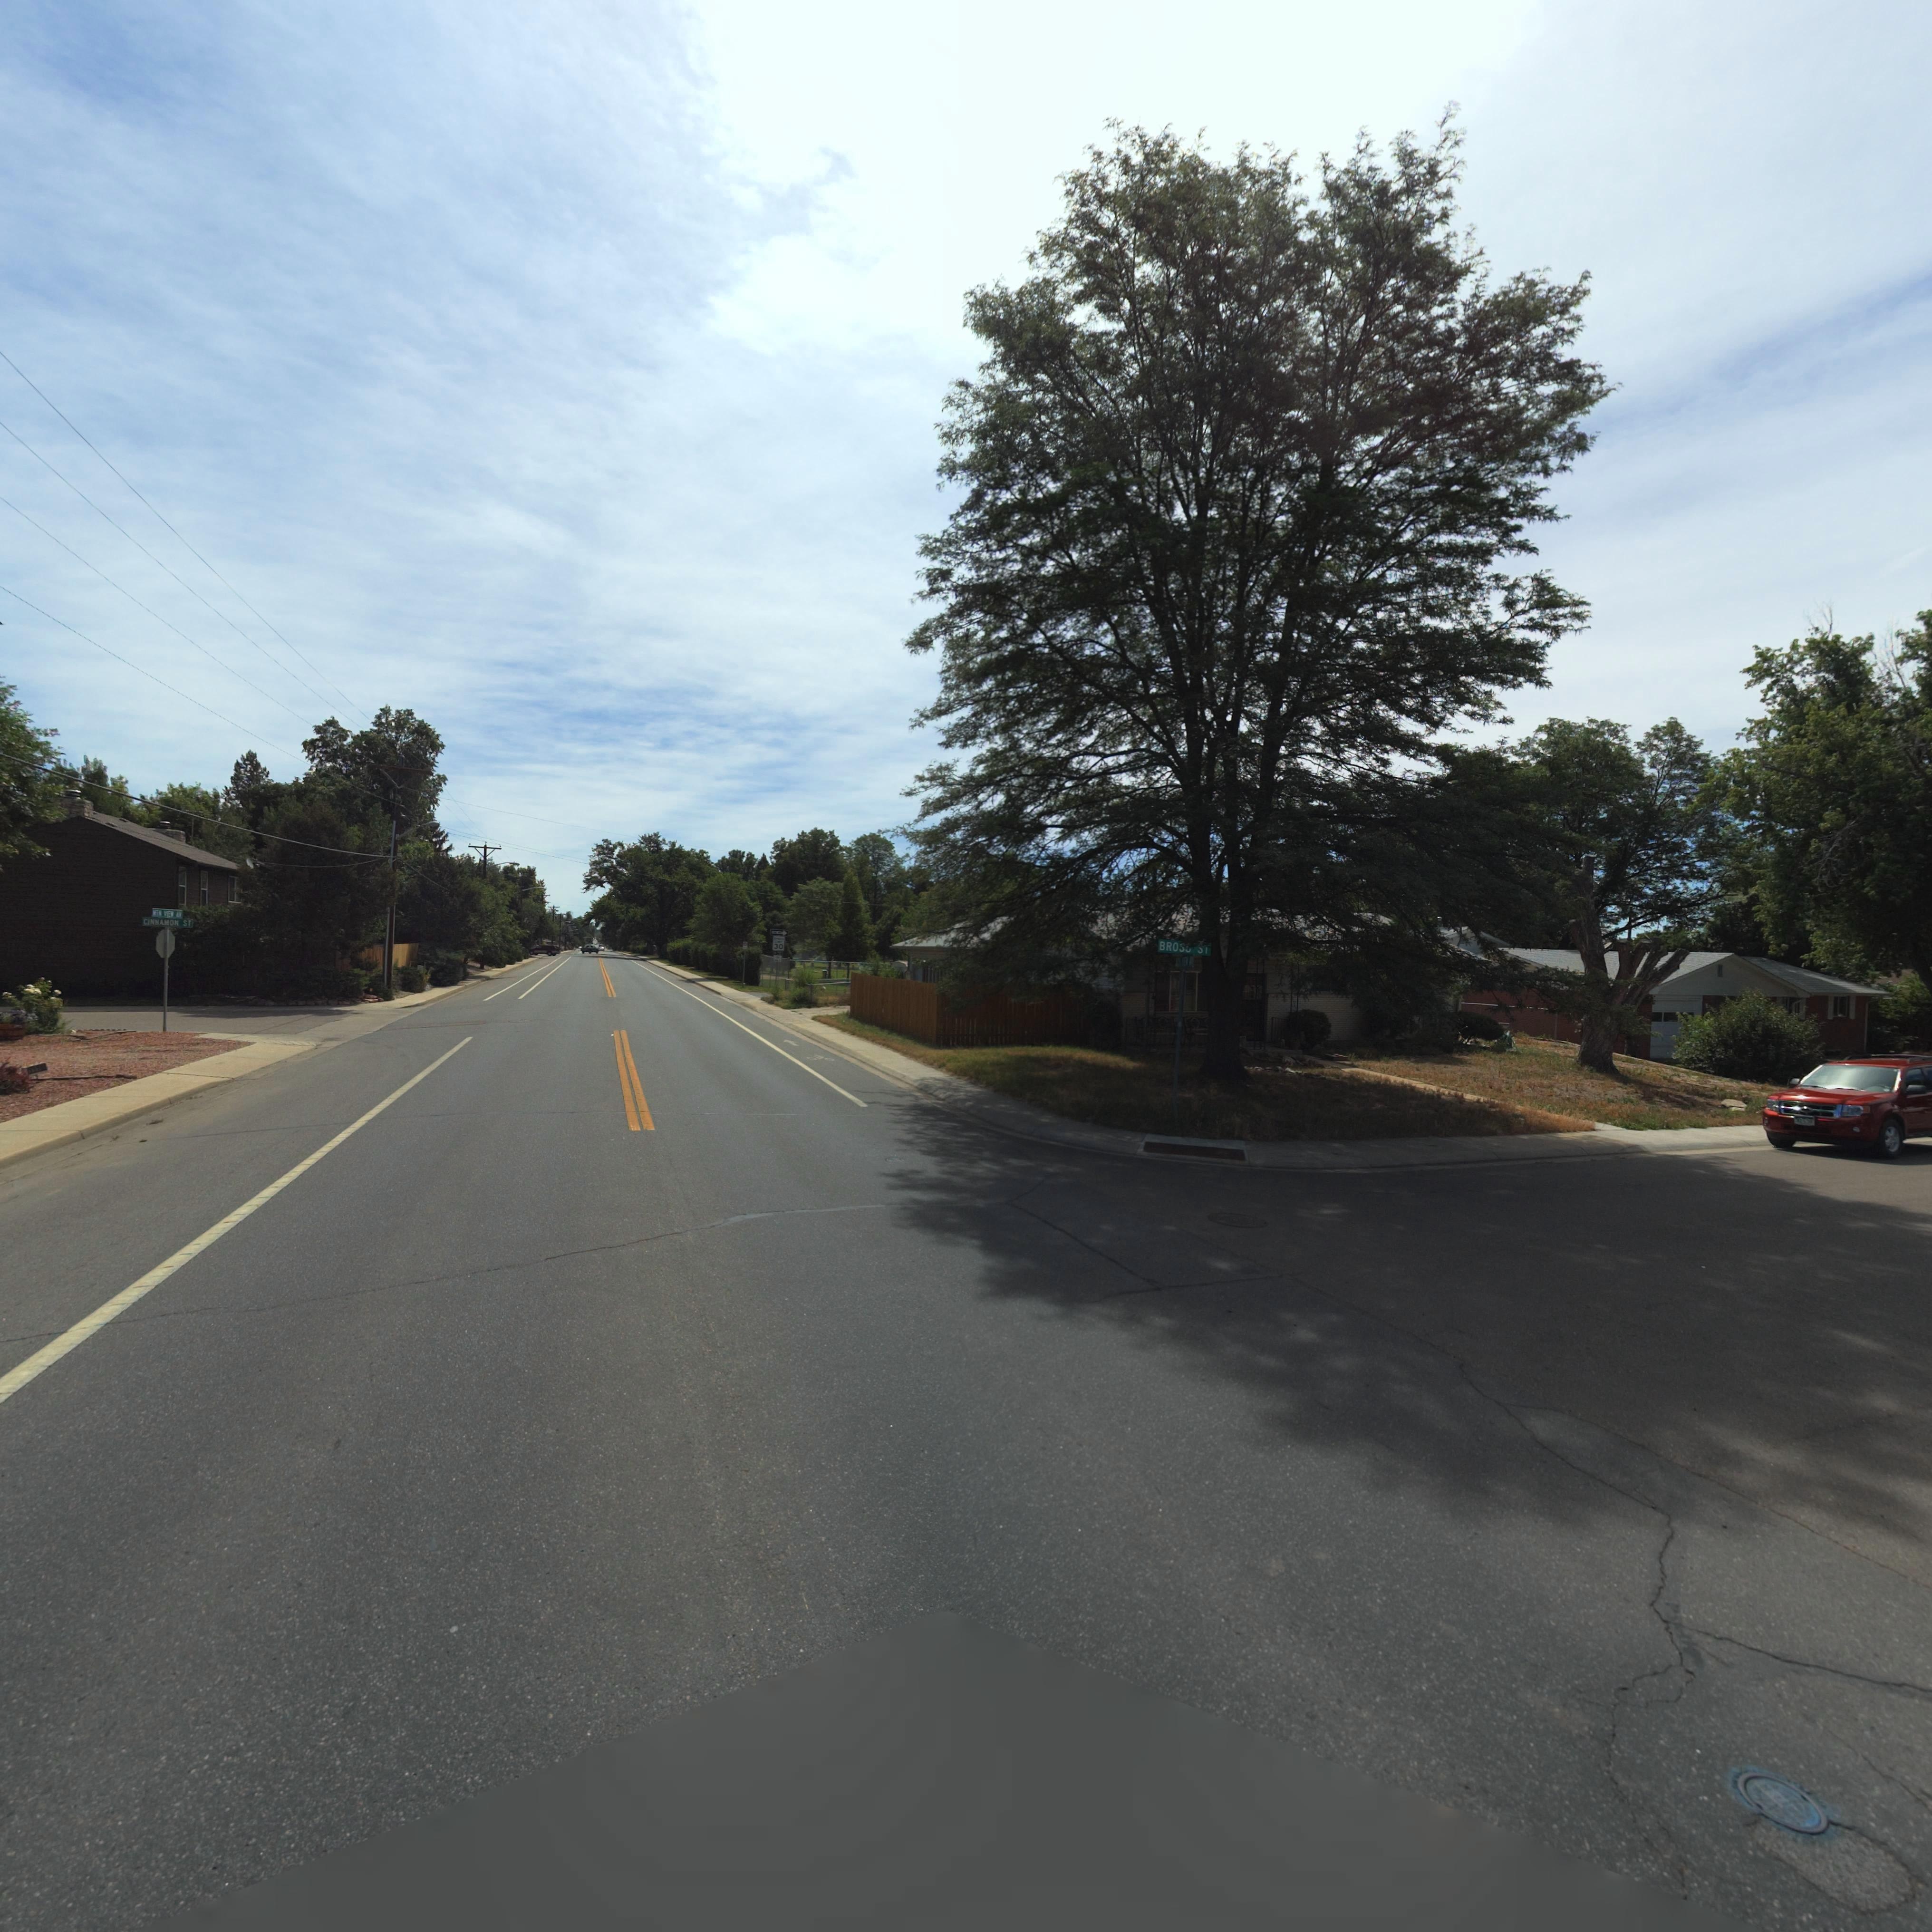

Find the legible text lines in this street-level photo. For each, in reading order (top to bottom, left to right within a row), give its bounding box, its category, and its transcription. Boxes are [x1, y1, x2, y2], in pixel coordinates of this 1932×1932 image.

[152, 909, 182, 918] StreetName: MTN VIEW **
[143, 918, 192, 927] StreetName: CINNAMON ST
[1159, 940, 1210, 954] StreetName: BROS* **
[1175, 956, 1194, 967] StreetName: **N VIEW **